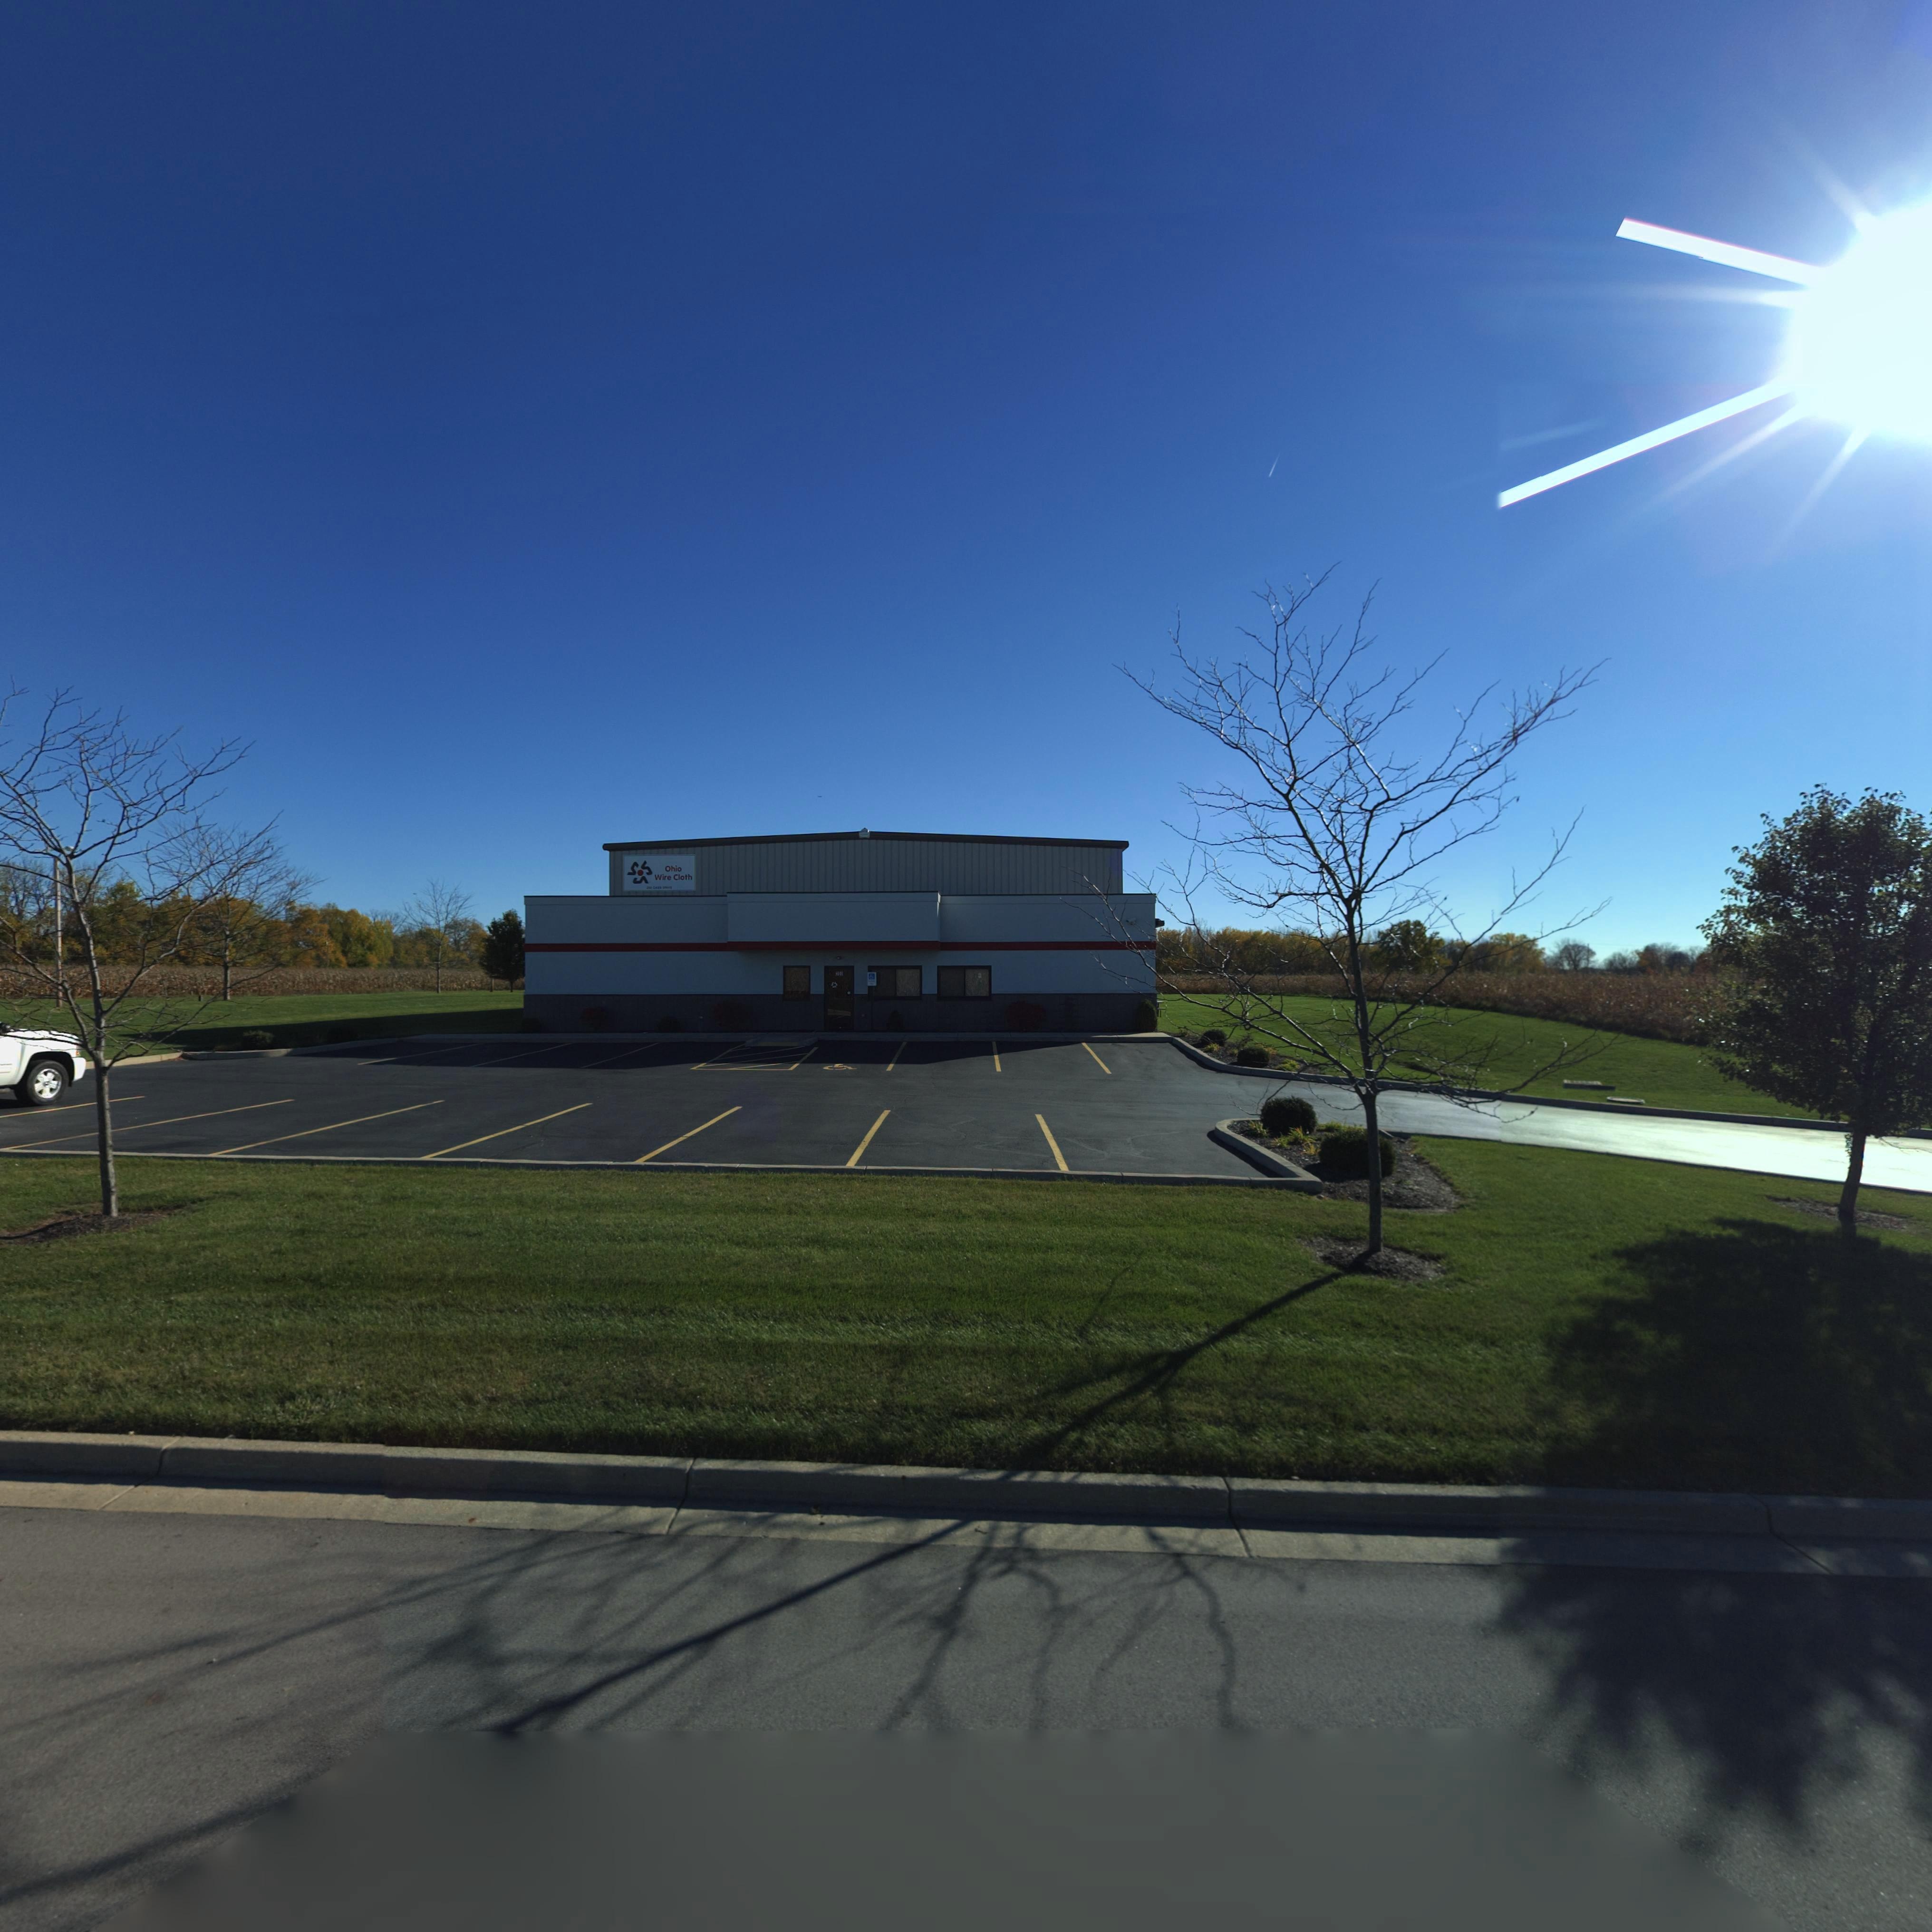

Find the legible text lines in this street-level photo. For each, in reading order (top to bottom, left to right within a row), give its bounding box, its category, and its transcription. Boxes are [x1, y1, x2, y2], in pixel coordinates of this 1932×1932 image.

[836, 971, 843, 976] StreetNumber: 201